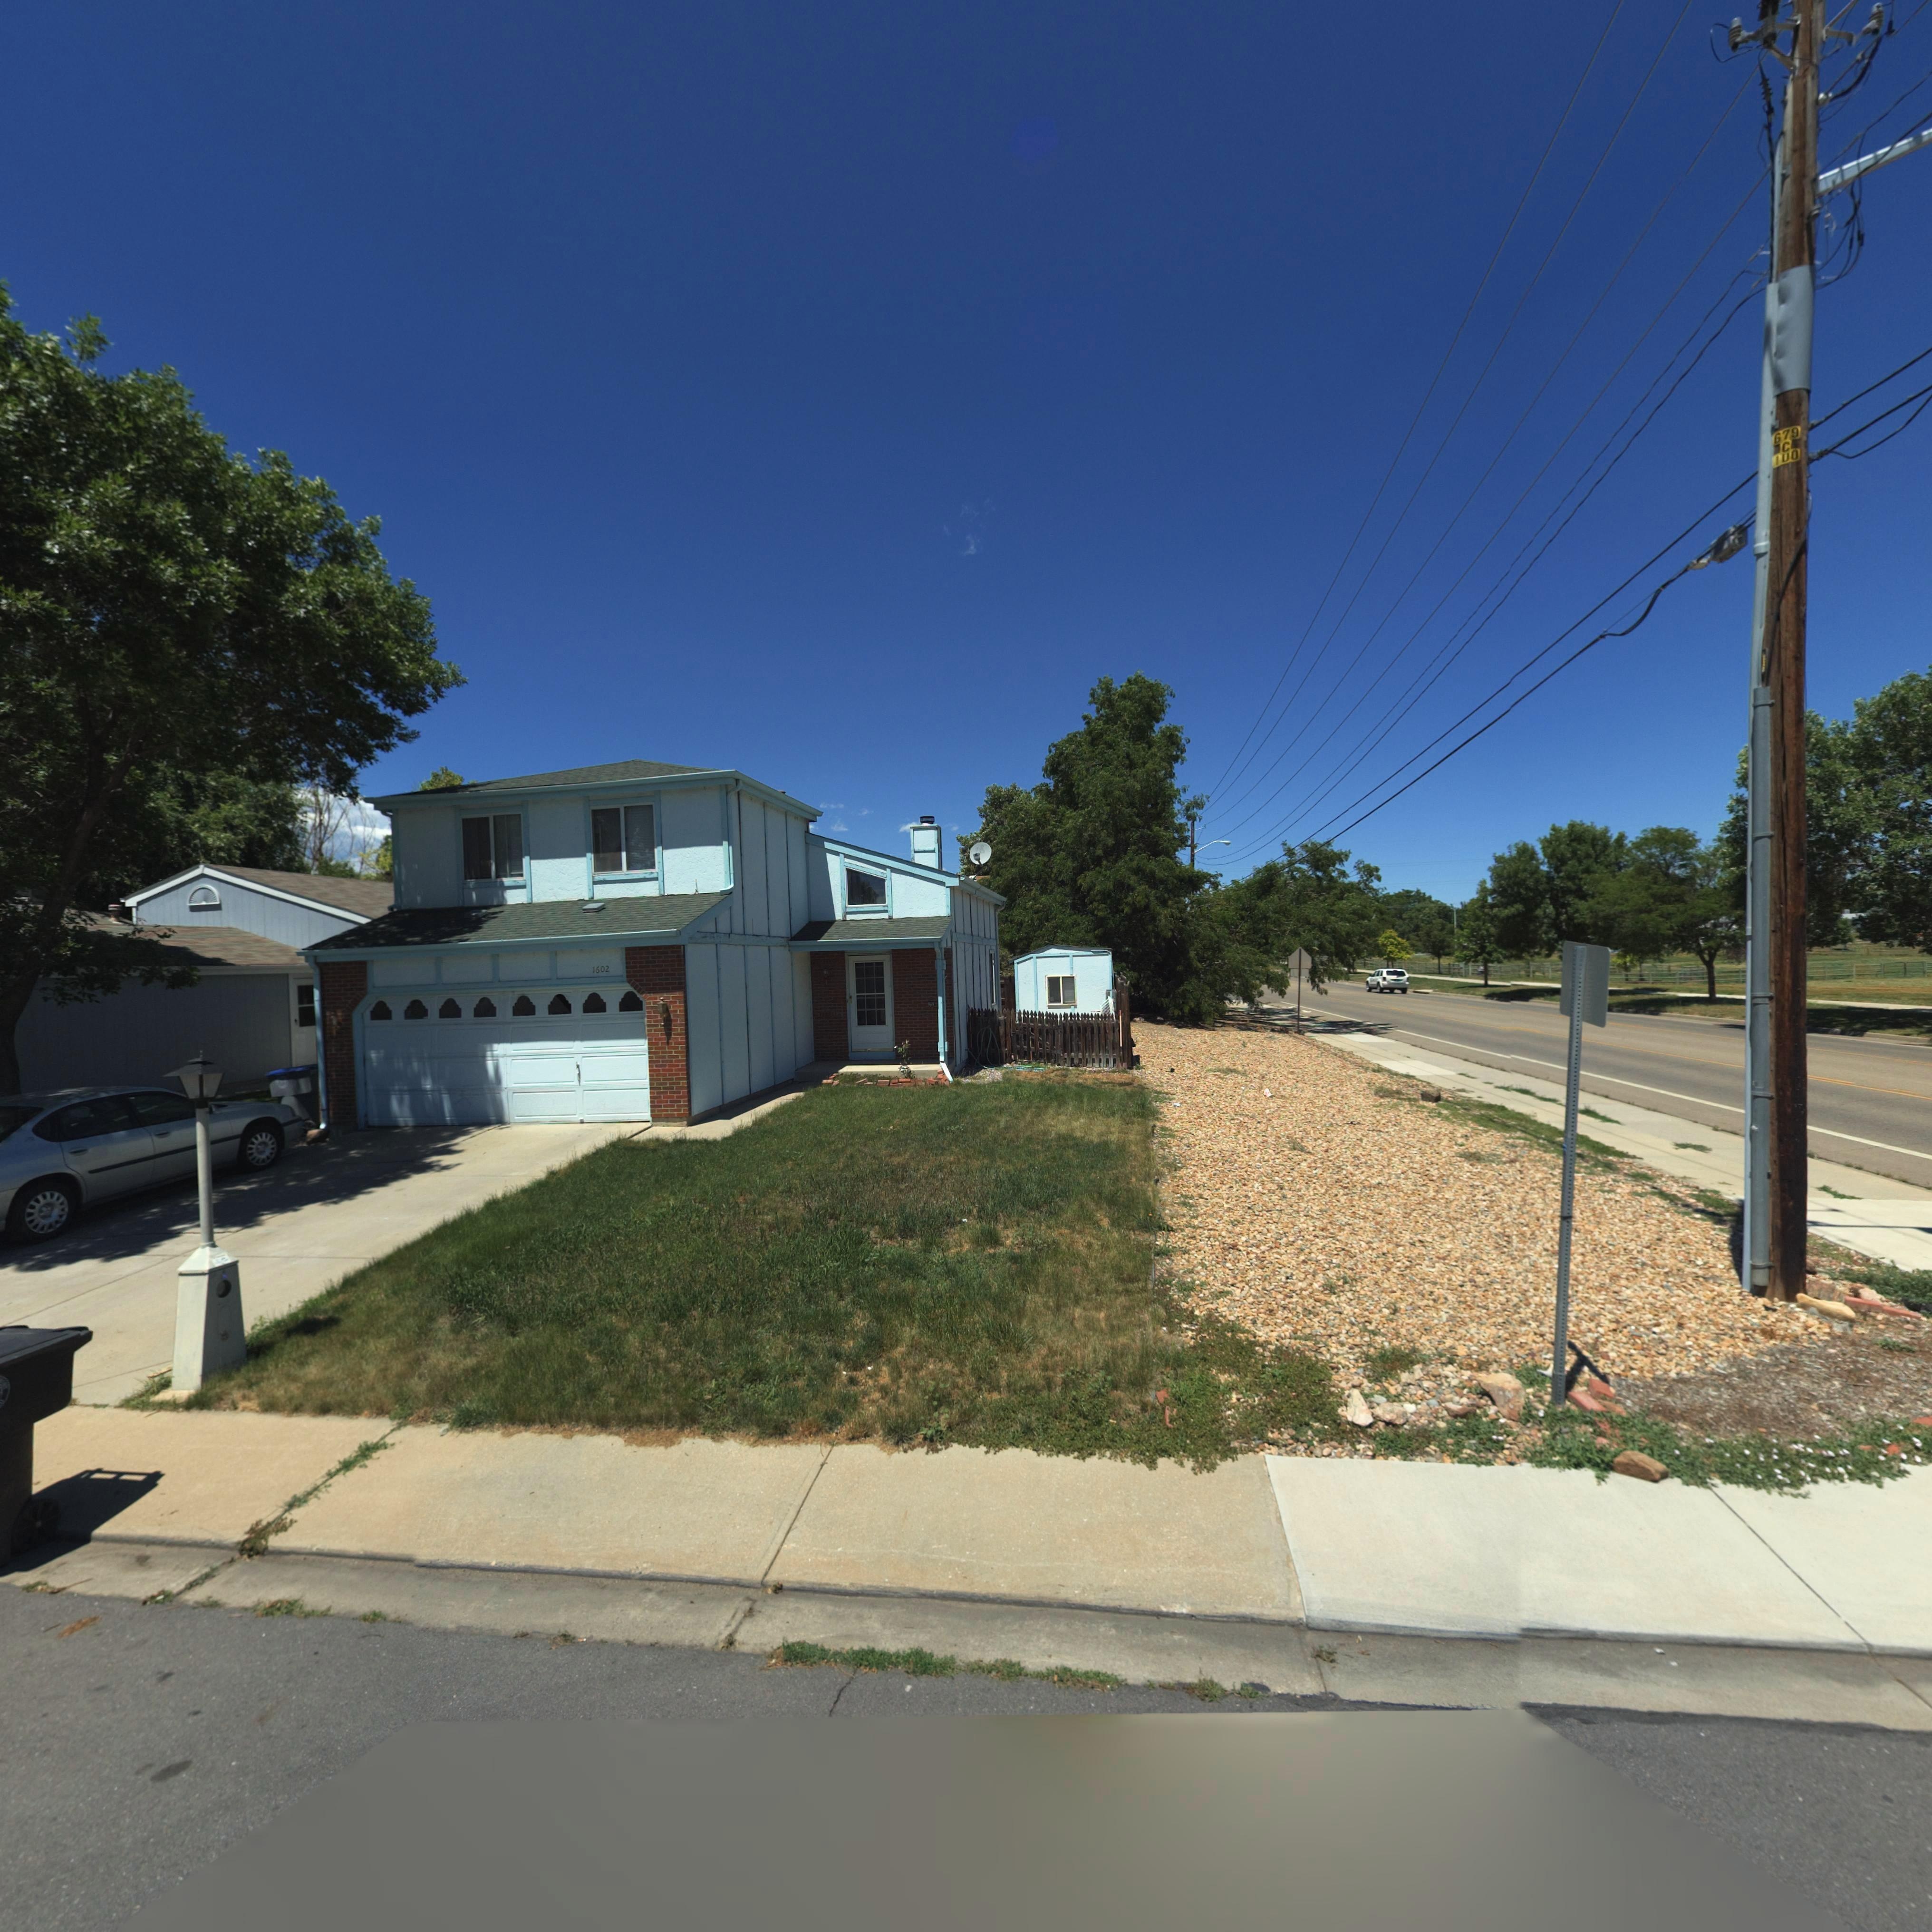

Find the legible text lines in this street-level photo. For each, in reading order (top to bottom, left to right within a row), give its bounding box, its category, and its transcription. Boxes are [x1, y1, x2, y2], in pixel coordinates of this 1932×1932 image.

[592, 965, 609, 973] StreetNumber: 1602